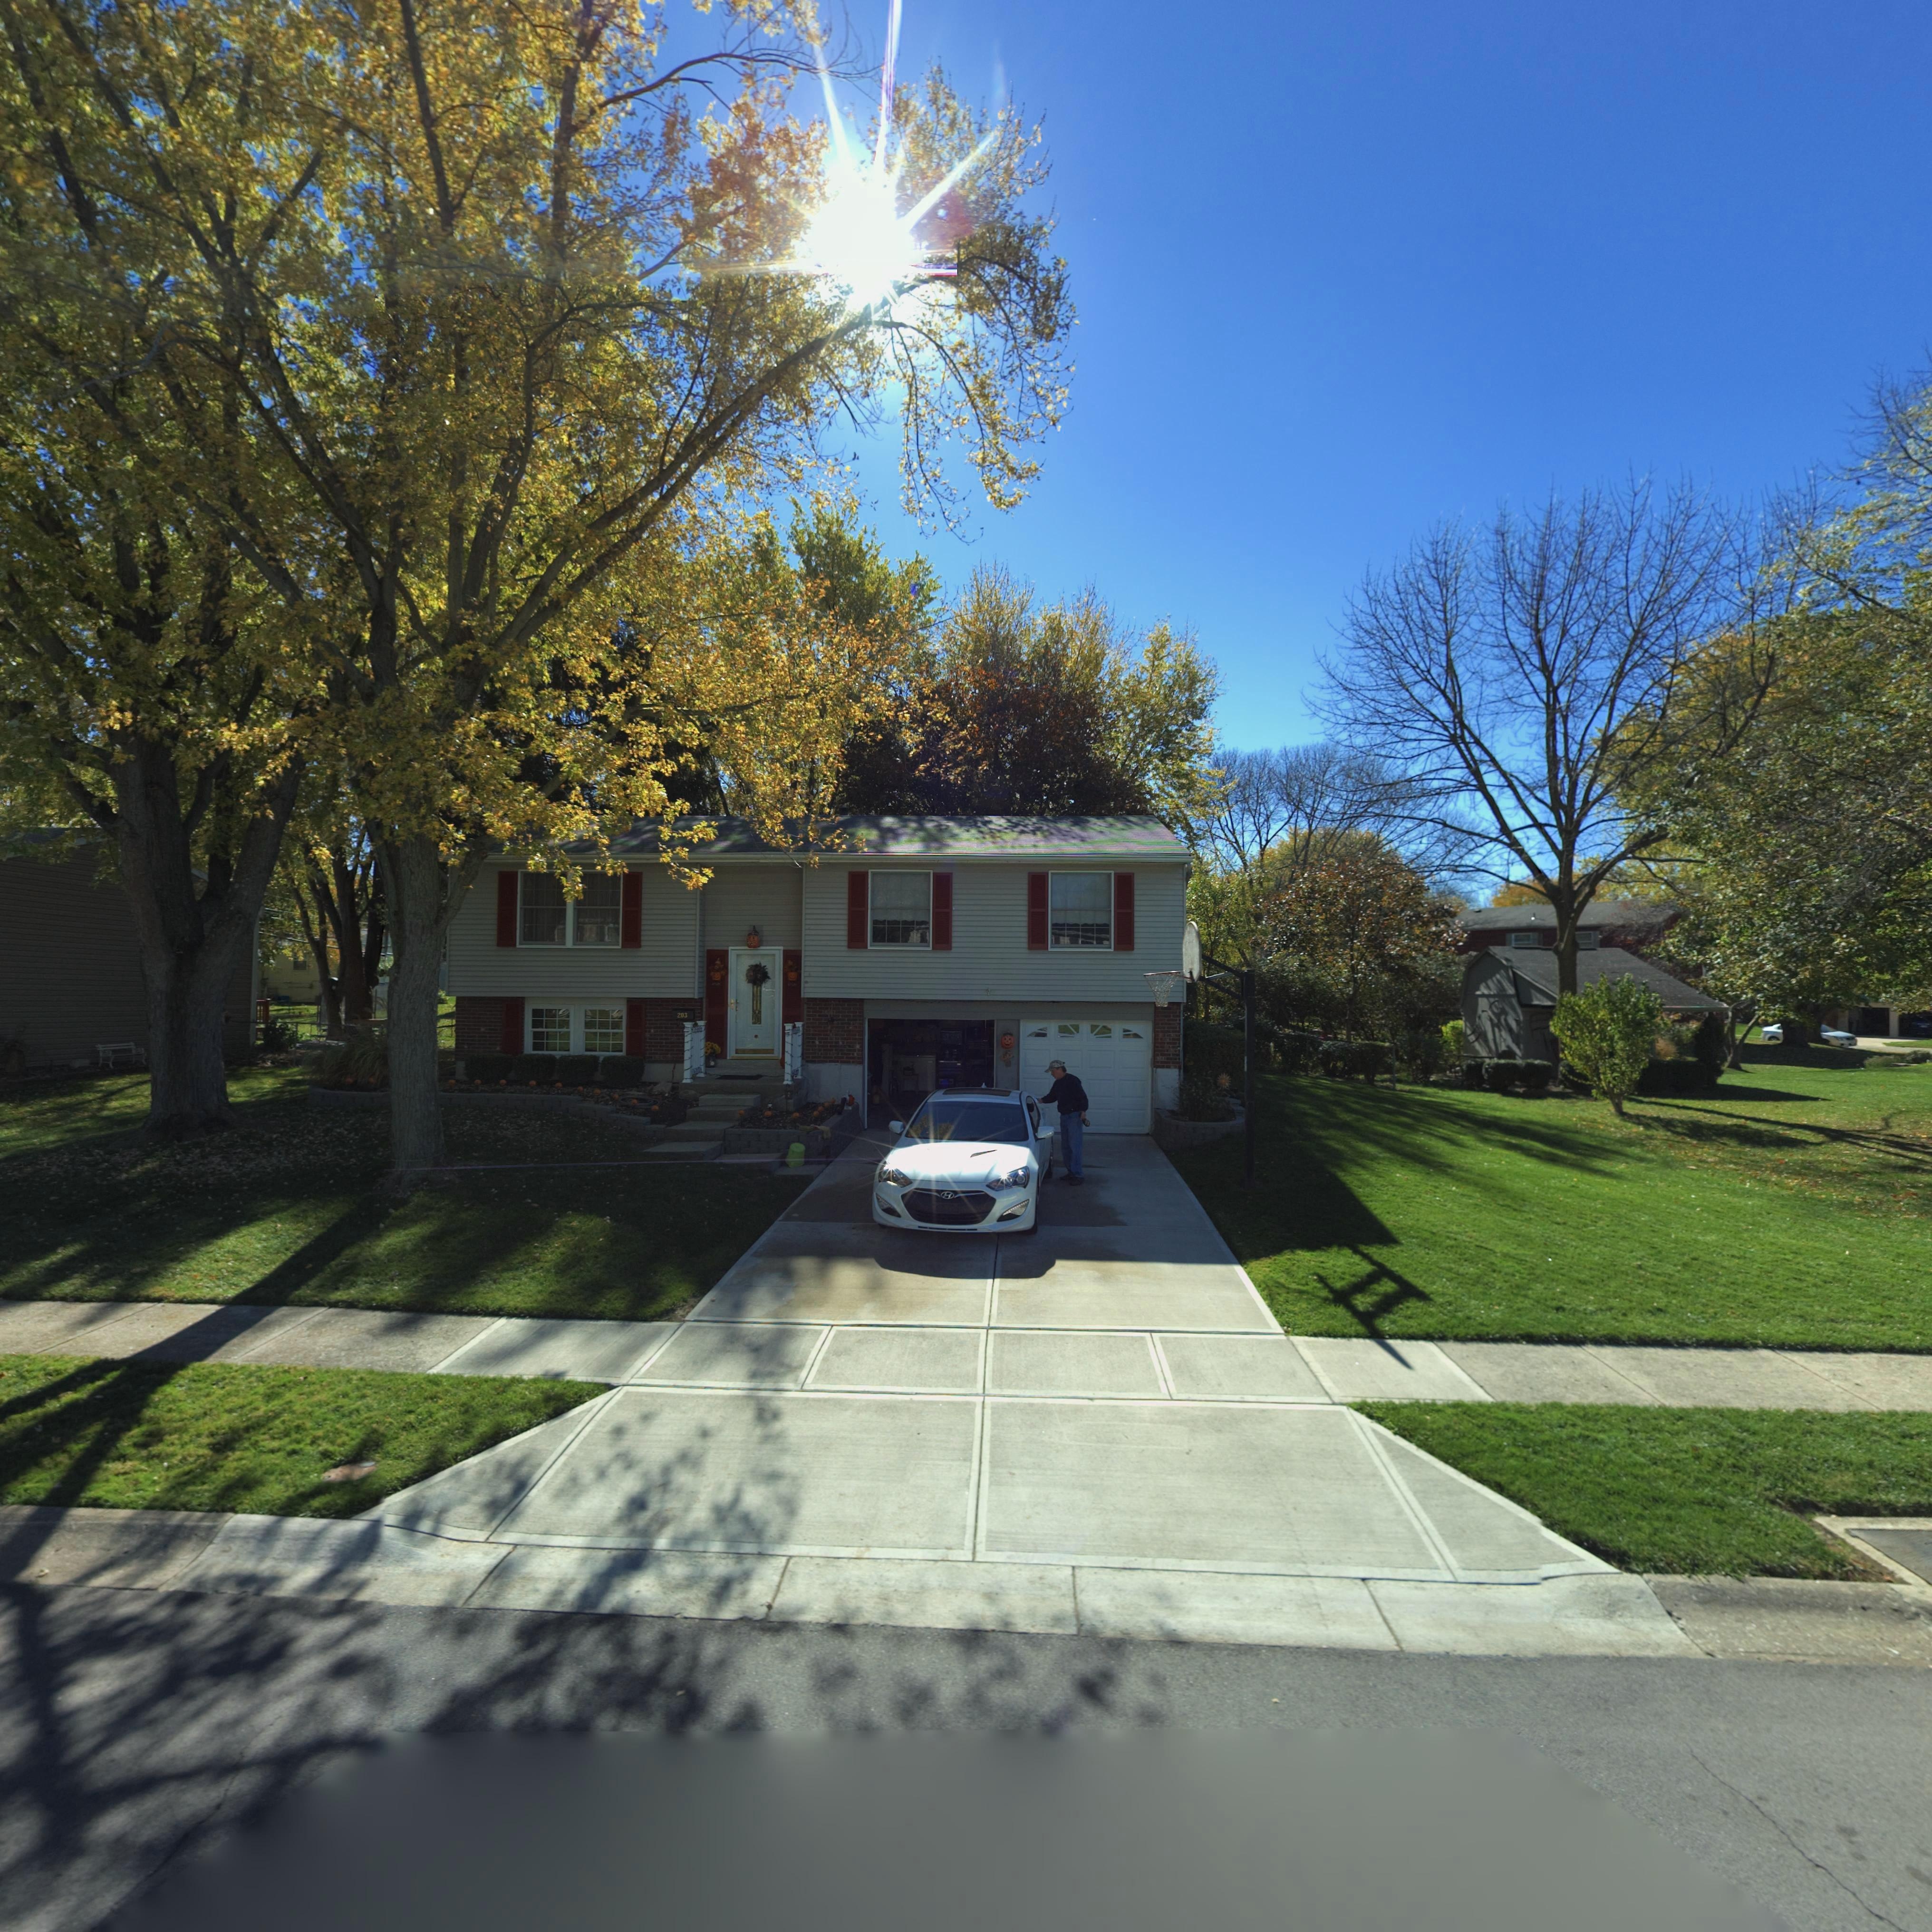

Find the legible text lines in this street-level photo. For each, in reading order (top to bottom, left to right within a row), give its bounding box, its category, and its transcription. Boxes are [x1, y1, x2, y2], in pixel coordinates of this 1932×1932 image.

[676, 1012, 688, 1019] StreetNumber: 203